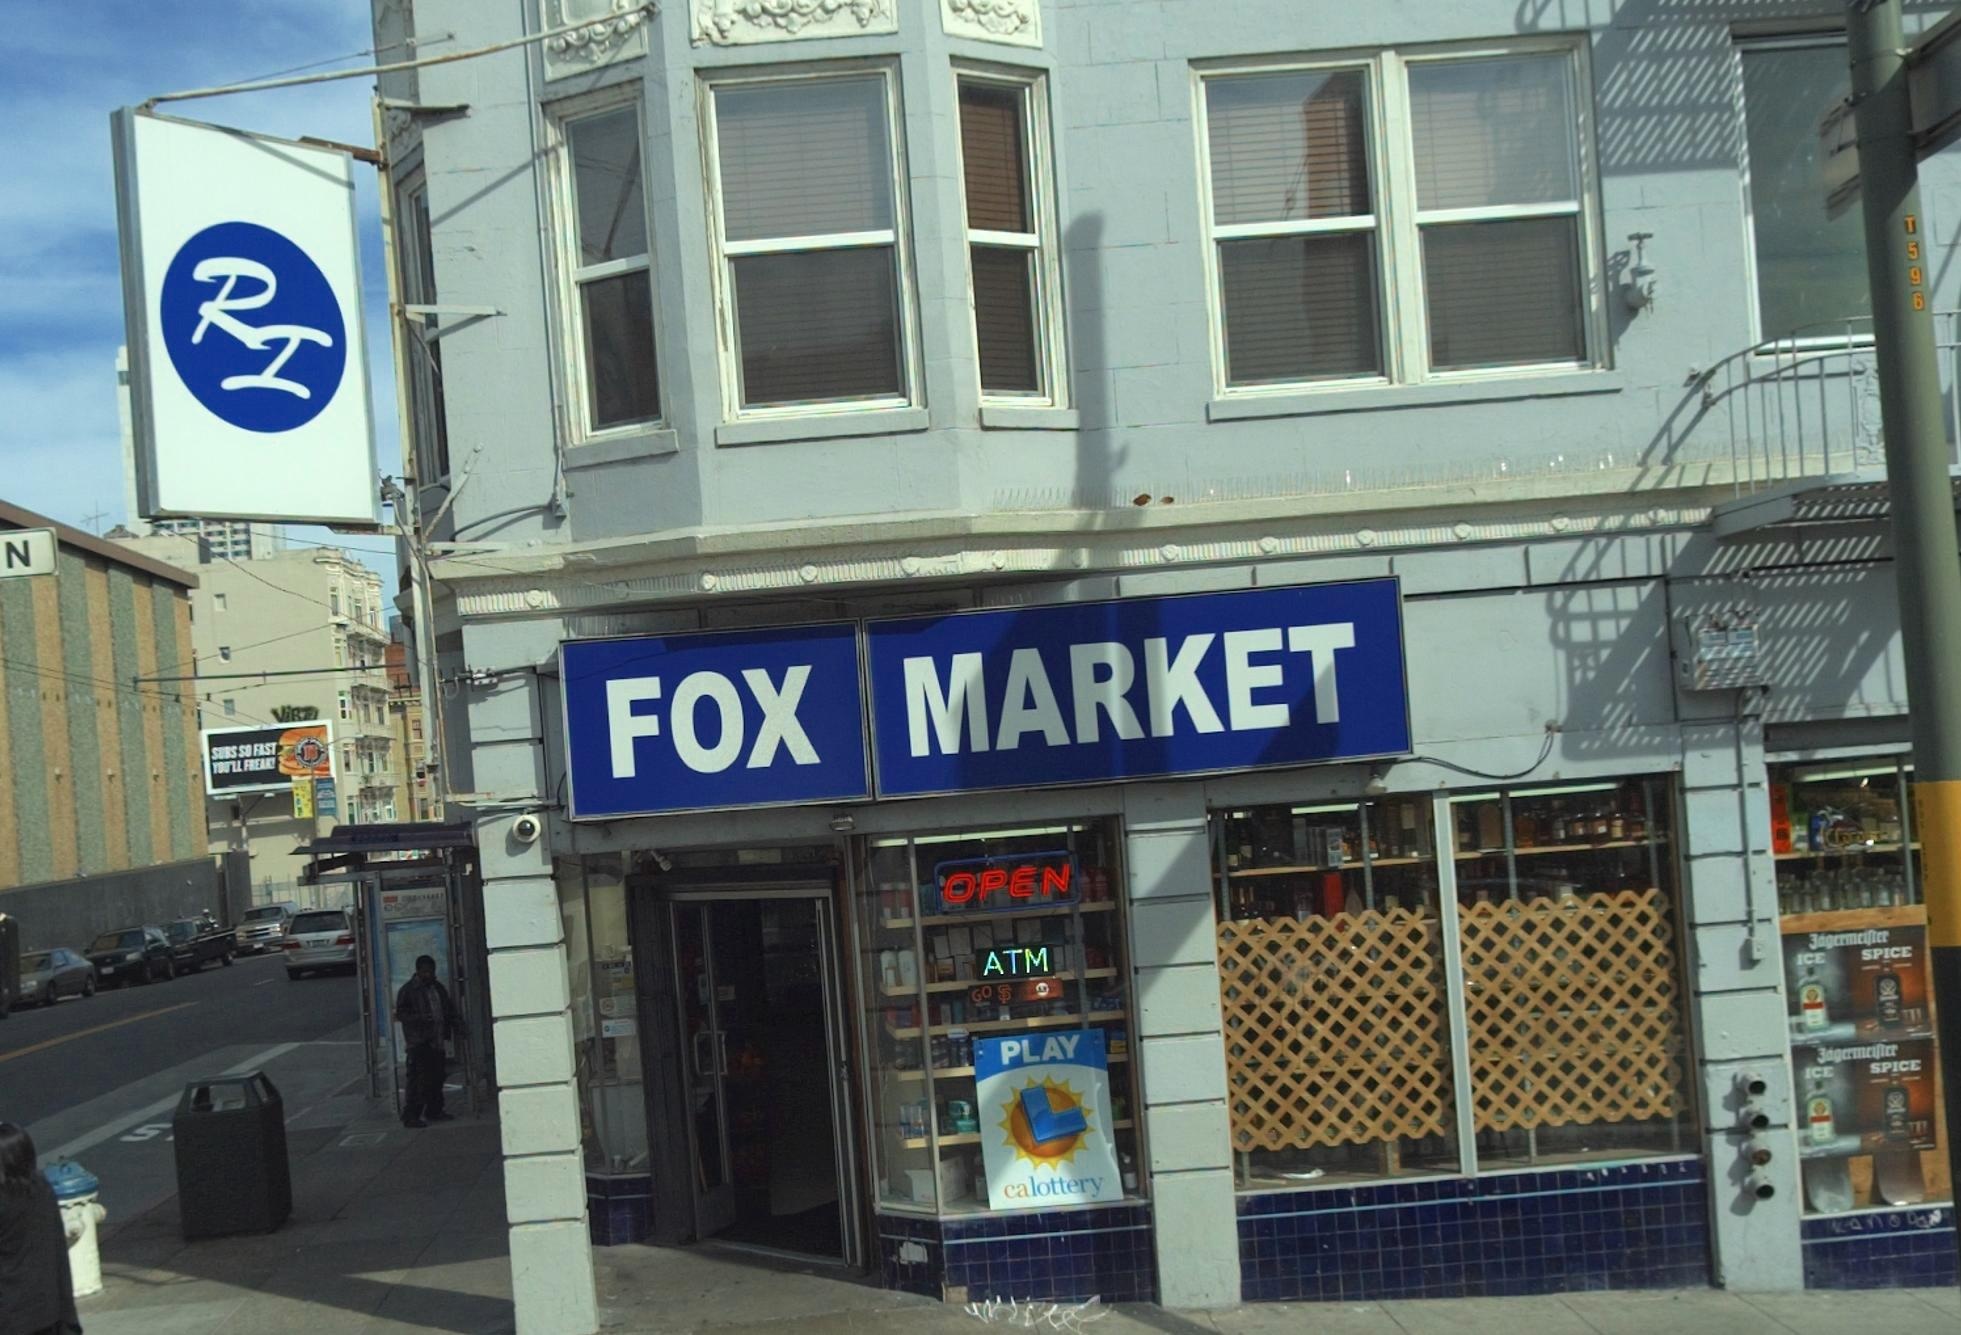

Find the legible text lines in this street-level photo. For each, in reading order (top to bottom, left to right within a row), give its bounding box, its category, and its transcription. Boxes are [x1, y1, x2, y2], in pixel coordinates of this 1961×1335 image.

[1899, 213, 1928, 314] None: T596
[176, 246, 345, 406] None: RI
[2, 536, 34, 572] StreetName: N
[597, 615, 1361, 789] BusinessName: FOX MARKET
[209, 739, 279, 763] None: SUBS SO FAST
[209, 756, 262, 778] None: YOU'LL FRE
[937, 859, 1074, 909] None: OPEN
[1843, 930, 1860, 948] None: m
[979, 944, 1051, 980] None: ATM
[1794, 949, 1829, 968] None: ICE
[1859, 943, 1916, 964] None: SPICE
[968, 982, 994, 1005] None: GO
[998, 1030, 1084, 1068] None: PLAY
[1850, 1043, 1869, 1063] None: m
[1802, 1063, 1838, 1082] None: ICE
[1868, 1056, 1924, 1078] None: SPICE
[1016, 1082, 1090, 1146] None: L
[117, 1120, 178, 1146] None: S
[1001, 1171, 1106, 1203] None: ca lottery